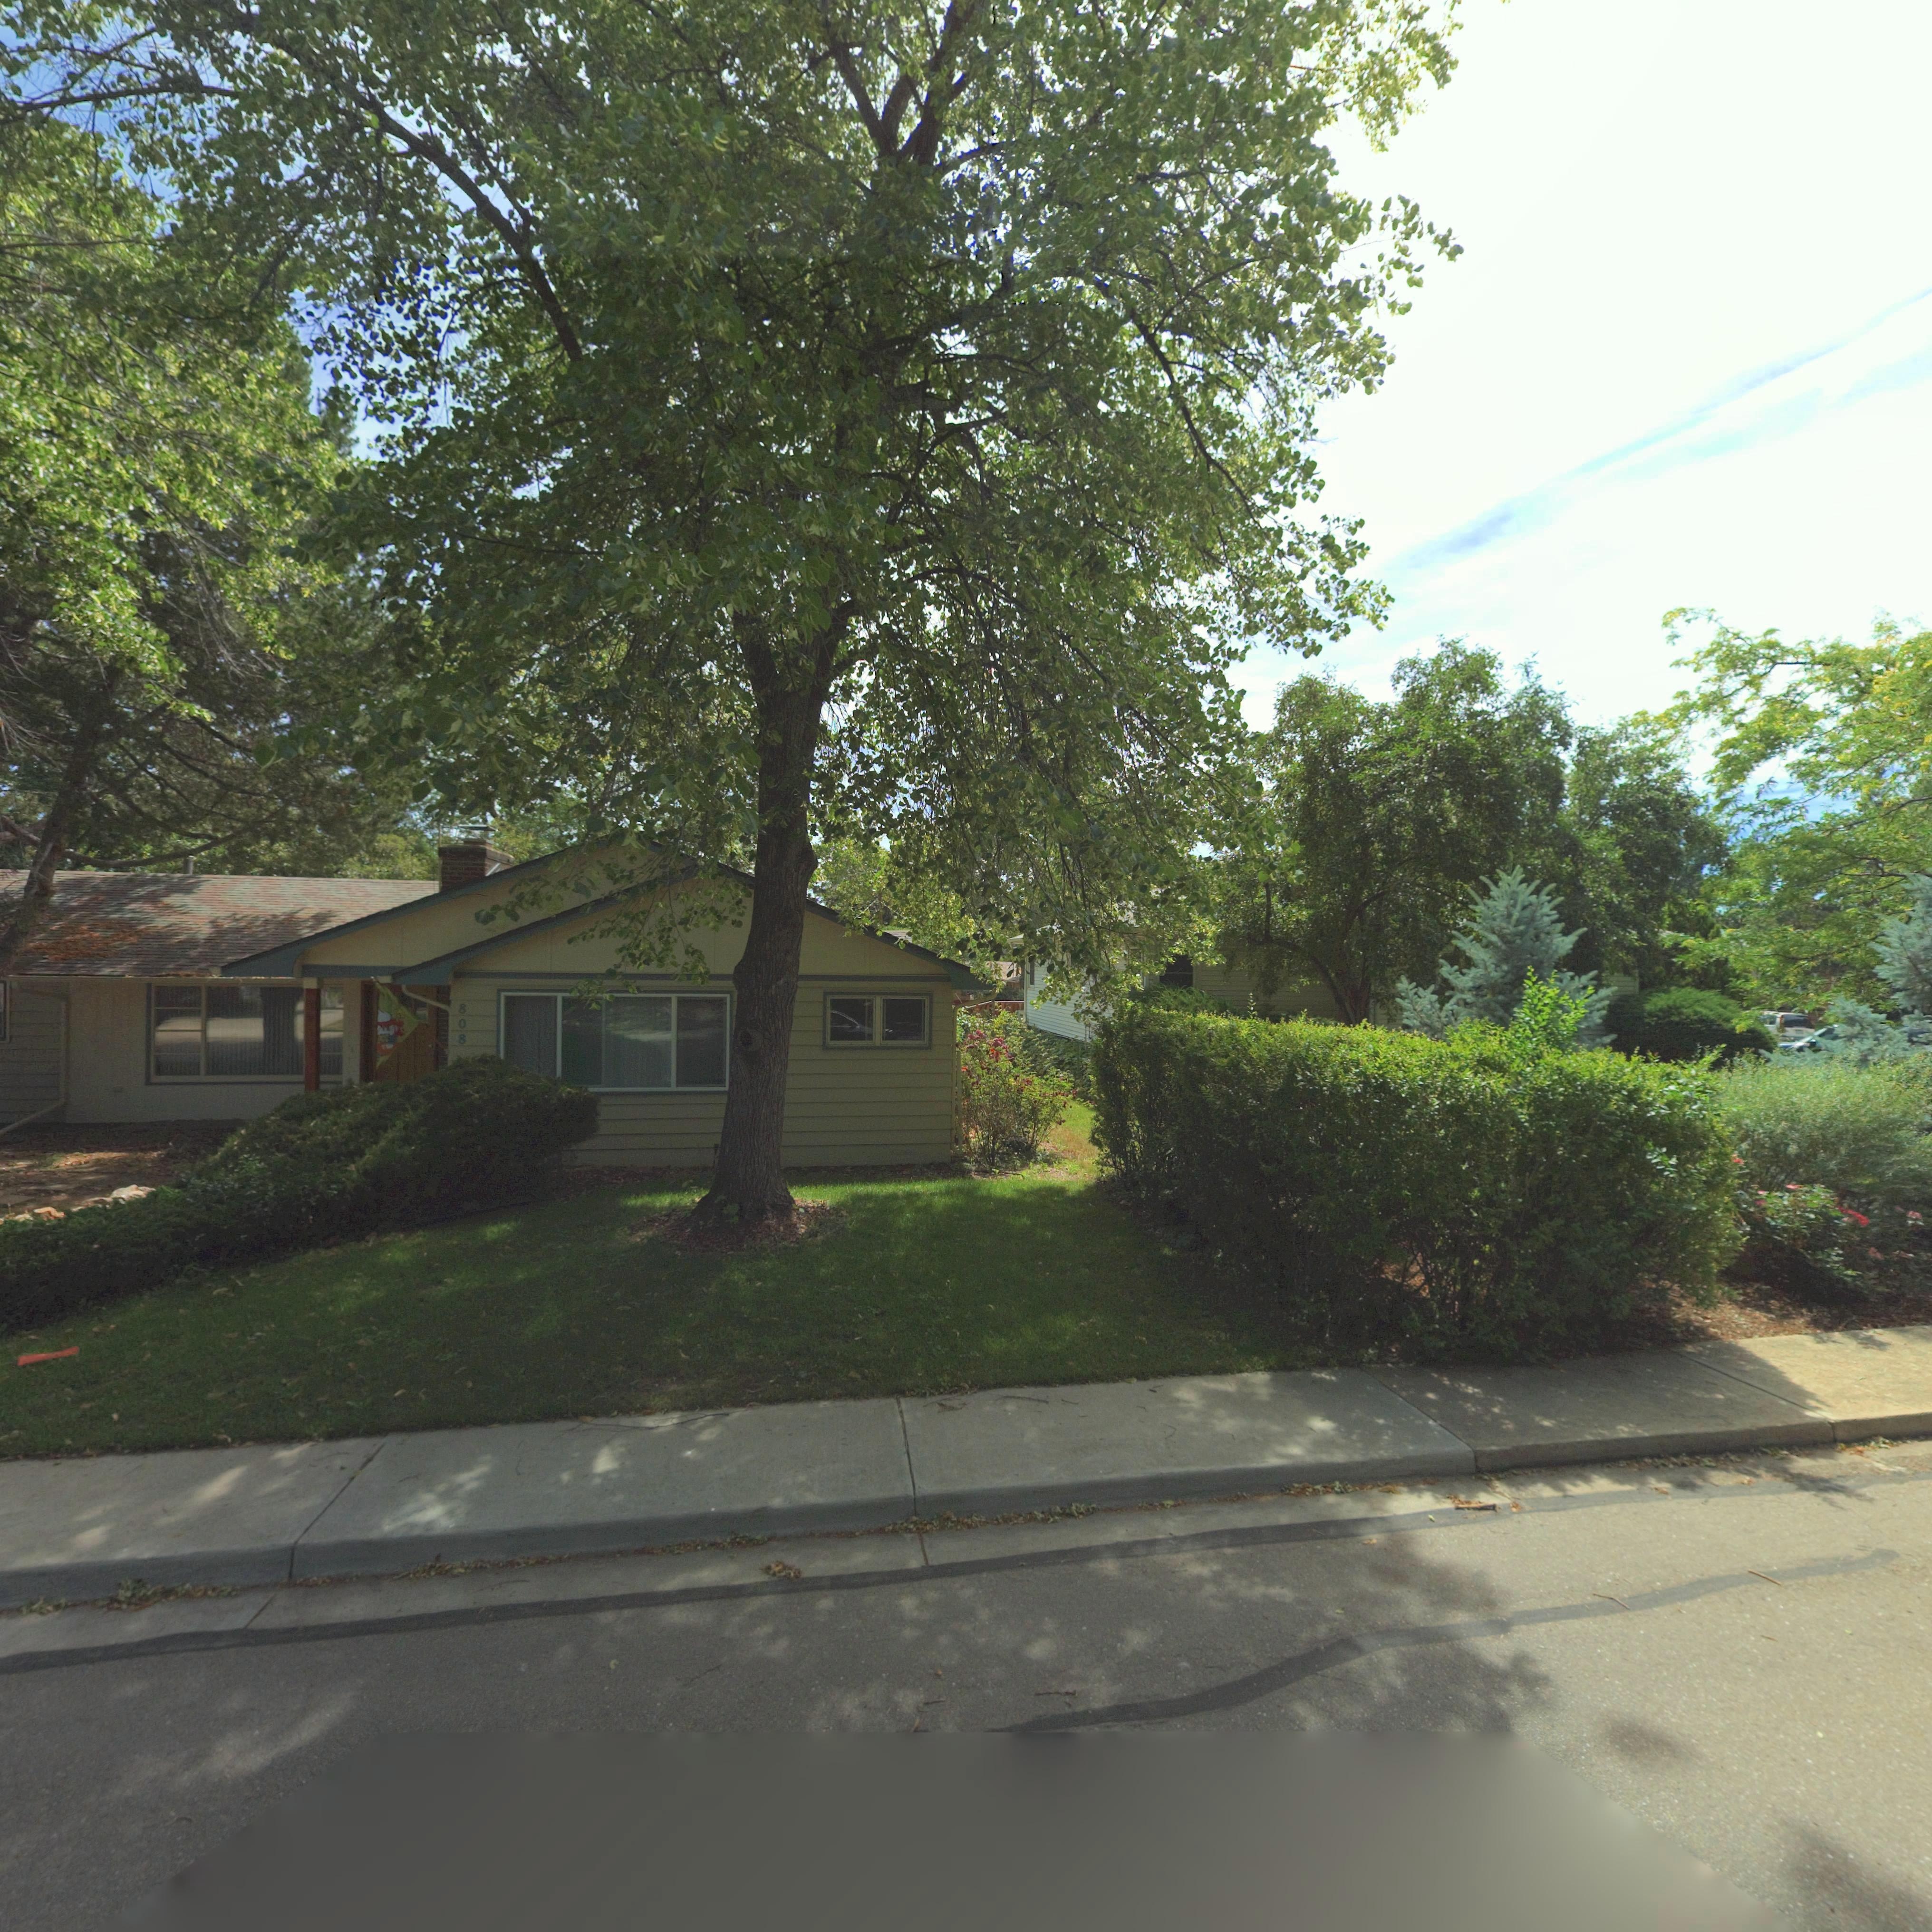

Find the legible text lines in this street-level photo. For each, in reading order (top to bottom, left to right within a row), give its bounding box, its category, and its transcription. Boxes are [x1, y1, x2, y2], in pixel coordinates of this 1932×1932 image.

[458, 1004, 466, 1044] StreetNumber: 808